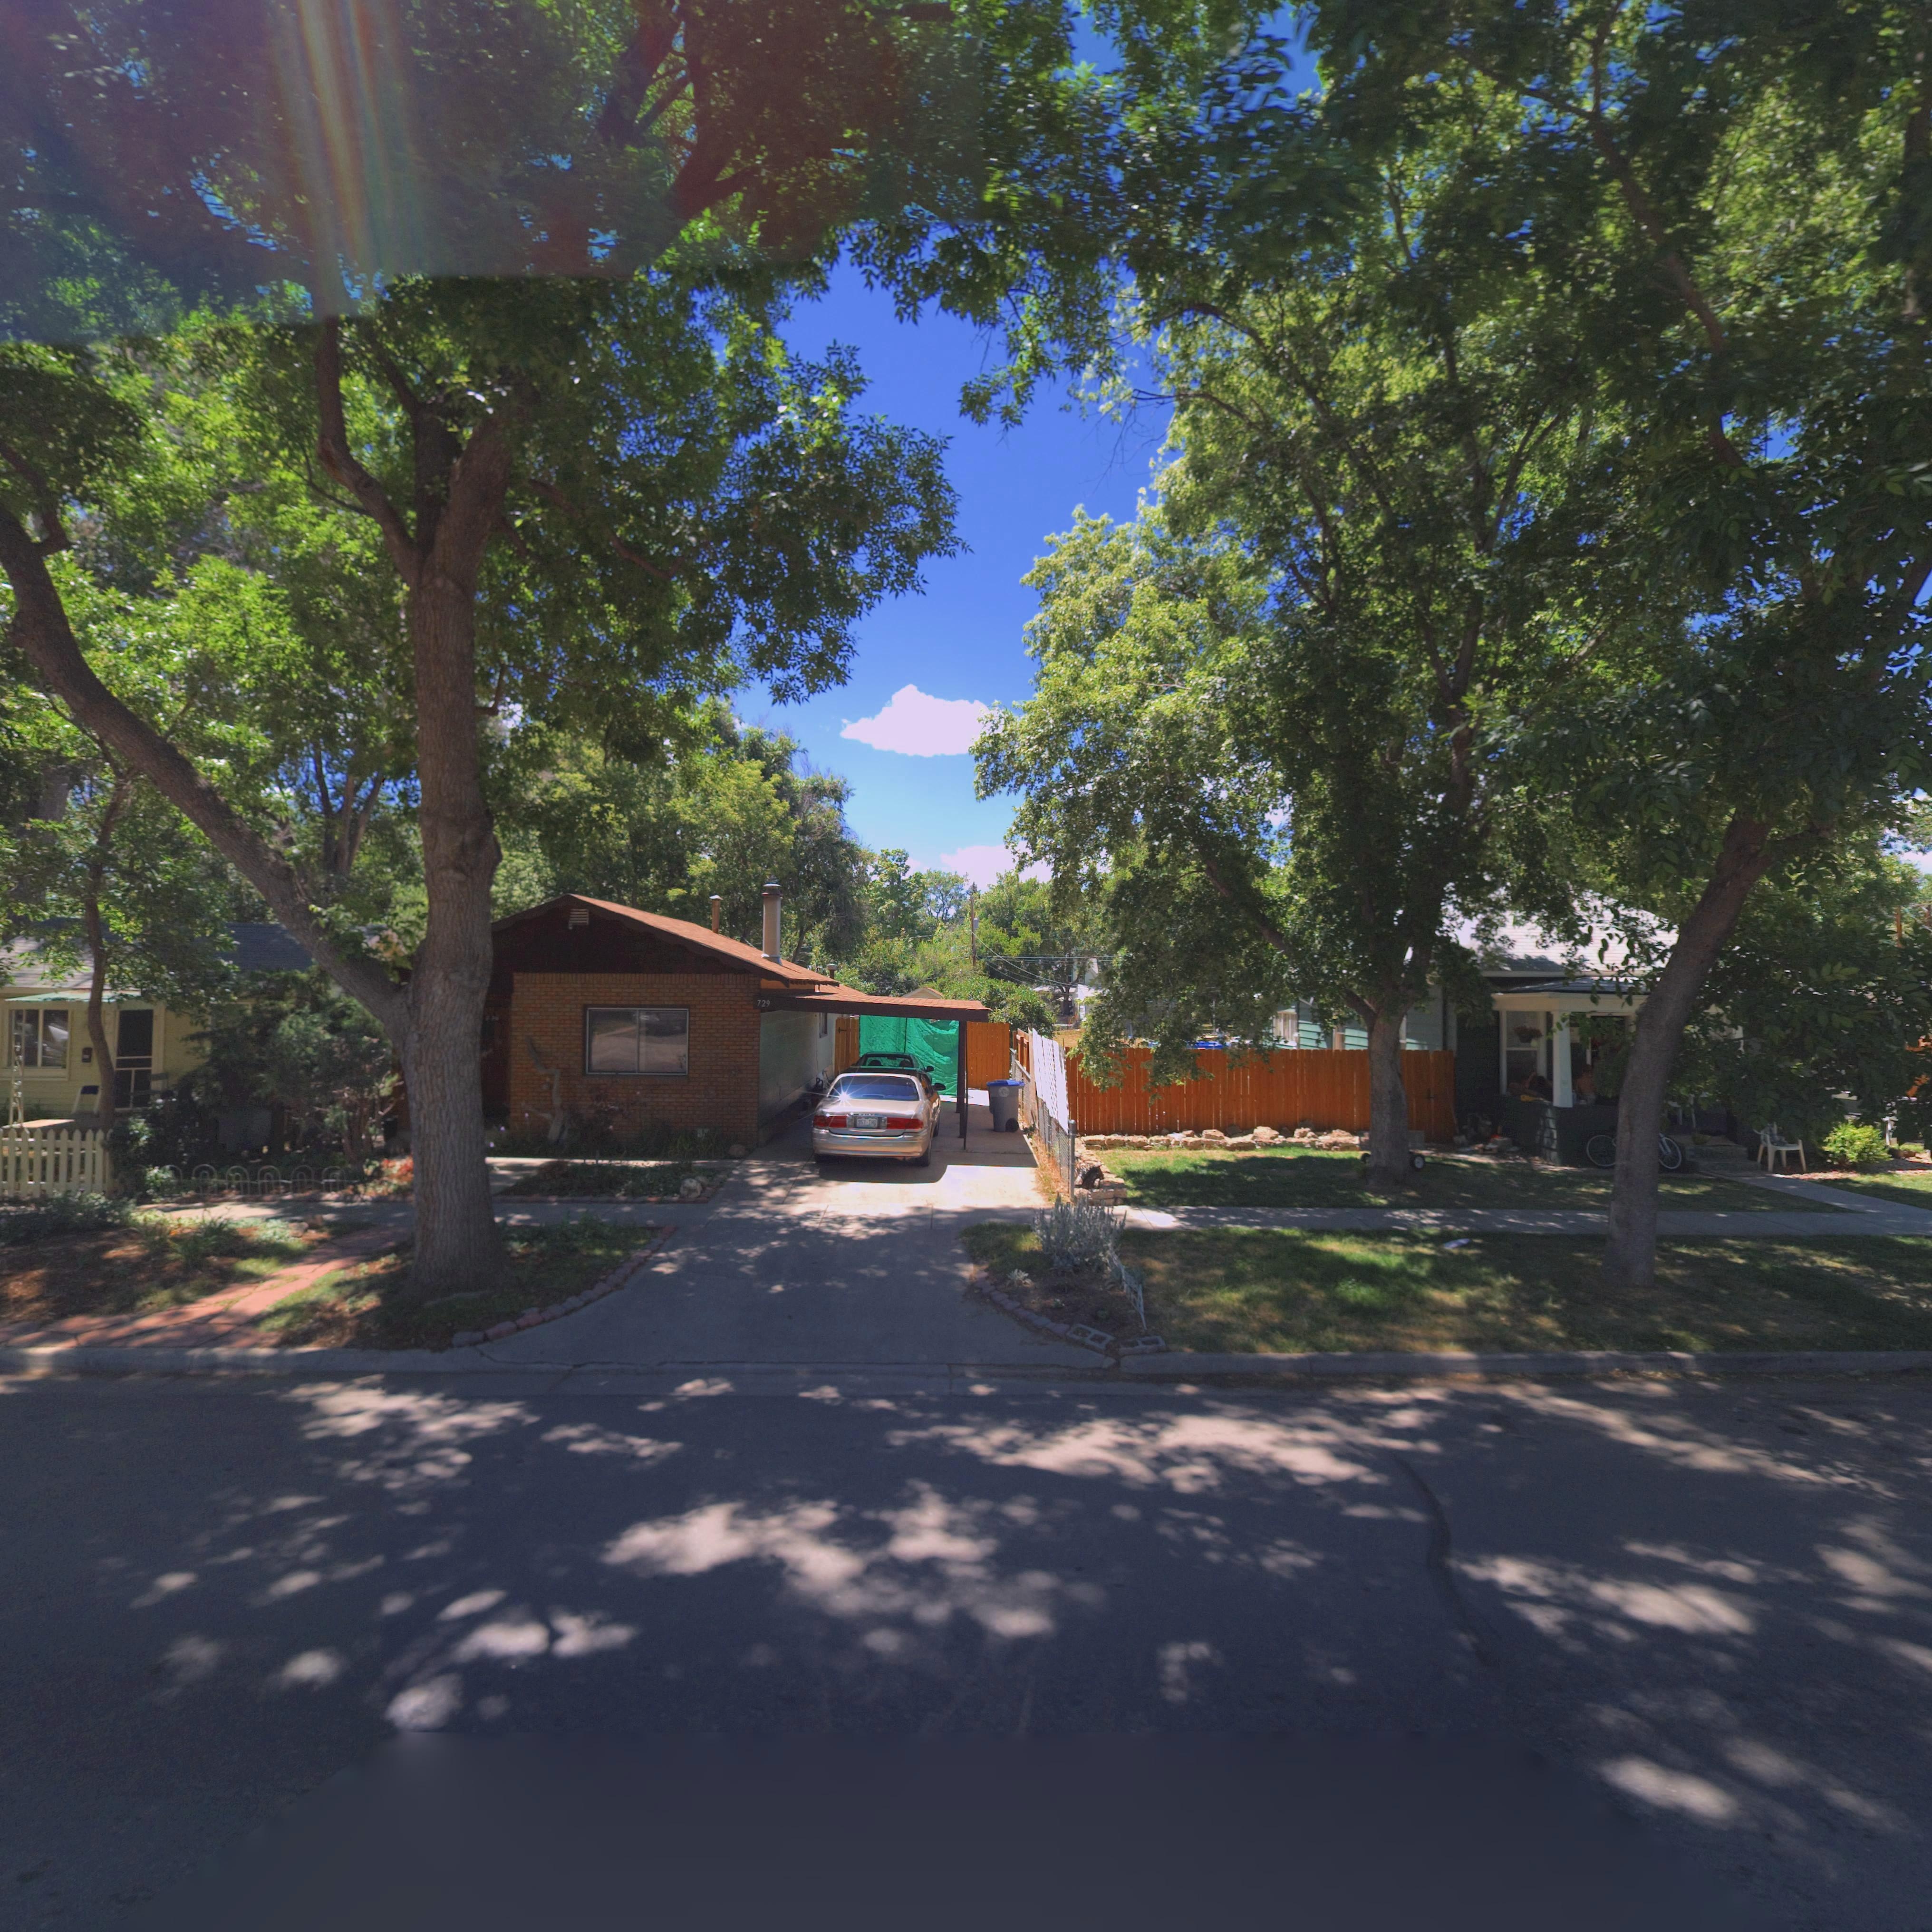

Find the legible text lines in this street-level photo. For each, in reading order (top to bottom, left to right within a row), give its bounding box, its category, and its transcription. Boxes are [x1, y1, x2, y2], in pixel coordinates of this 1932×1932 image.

[756, 1000, 771, 1007] StreetNumber: 729